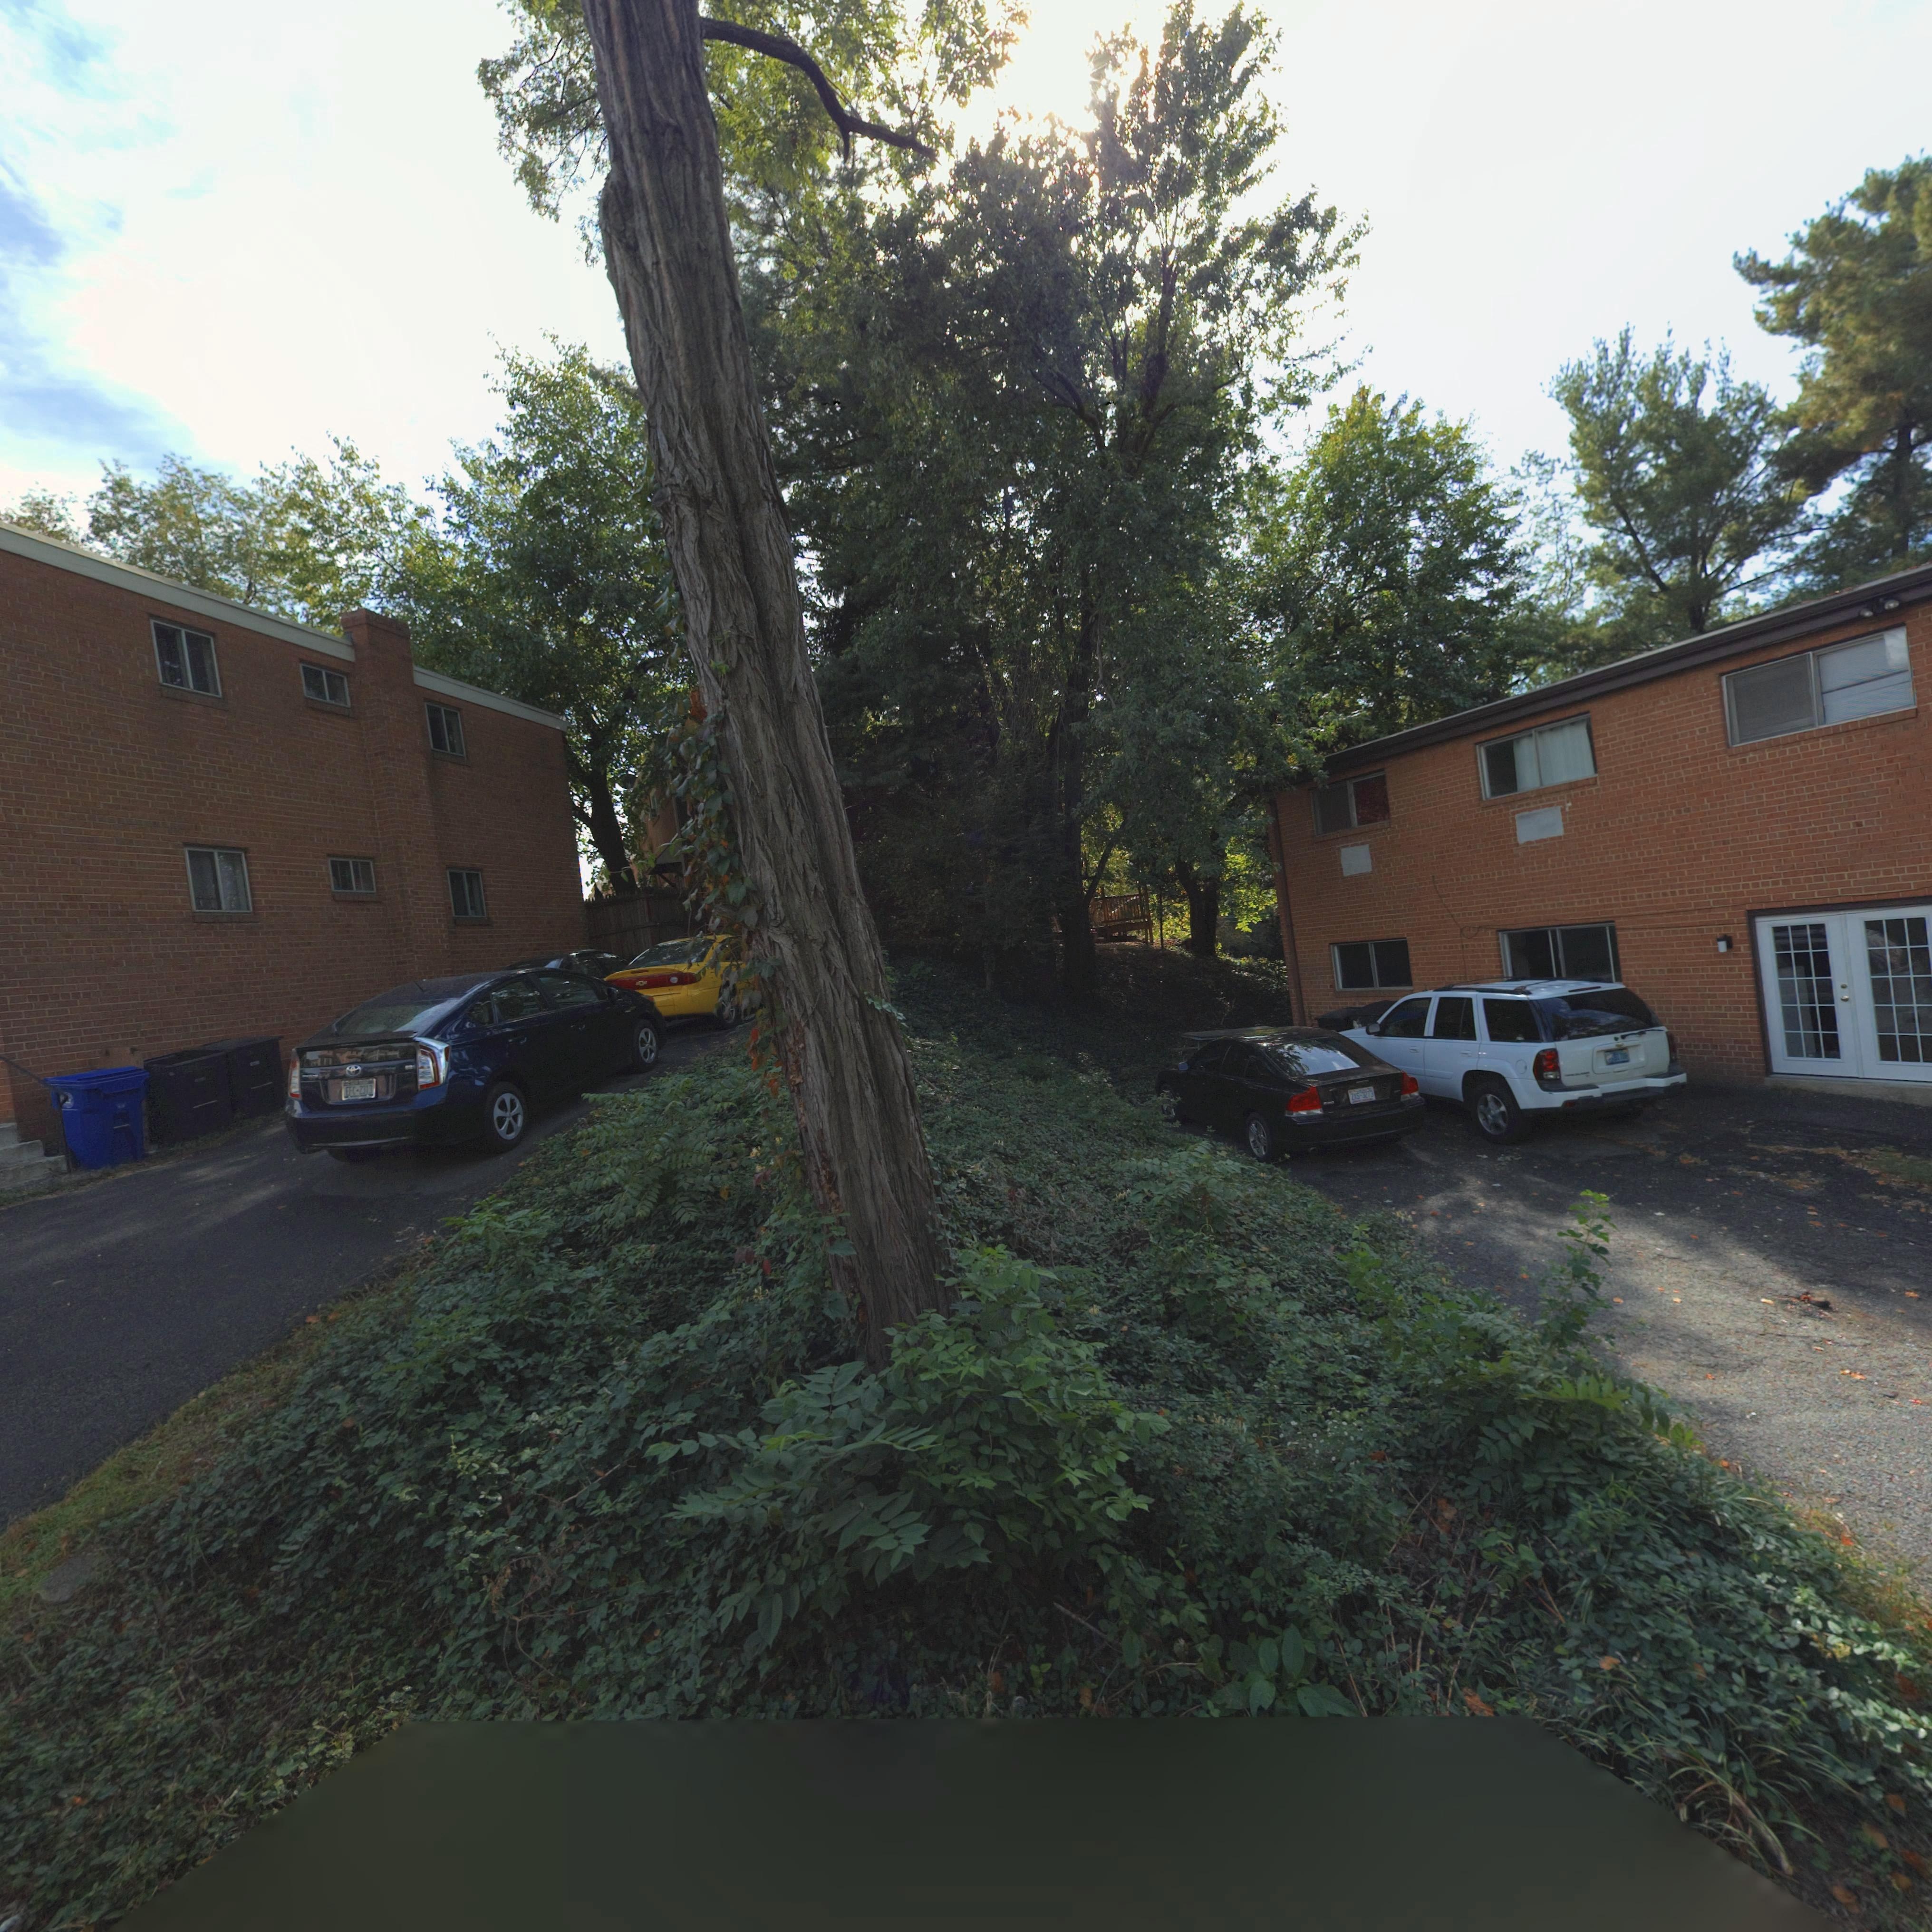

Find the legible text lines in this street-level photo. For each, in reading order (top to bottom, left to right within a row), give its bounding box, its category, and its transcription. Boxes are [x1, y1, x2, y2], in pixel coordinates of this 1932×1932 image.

[344, 1082, 375, 1098] None: EFC-23**
[1349, 1089, 1375, 1102] None: ZXS-3273